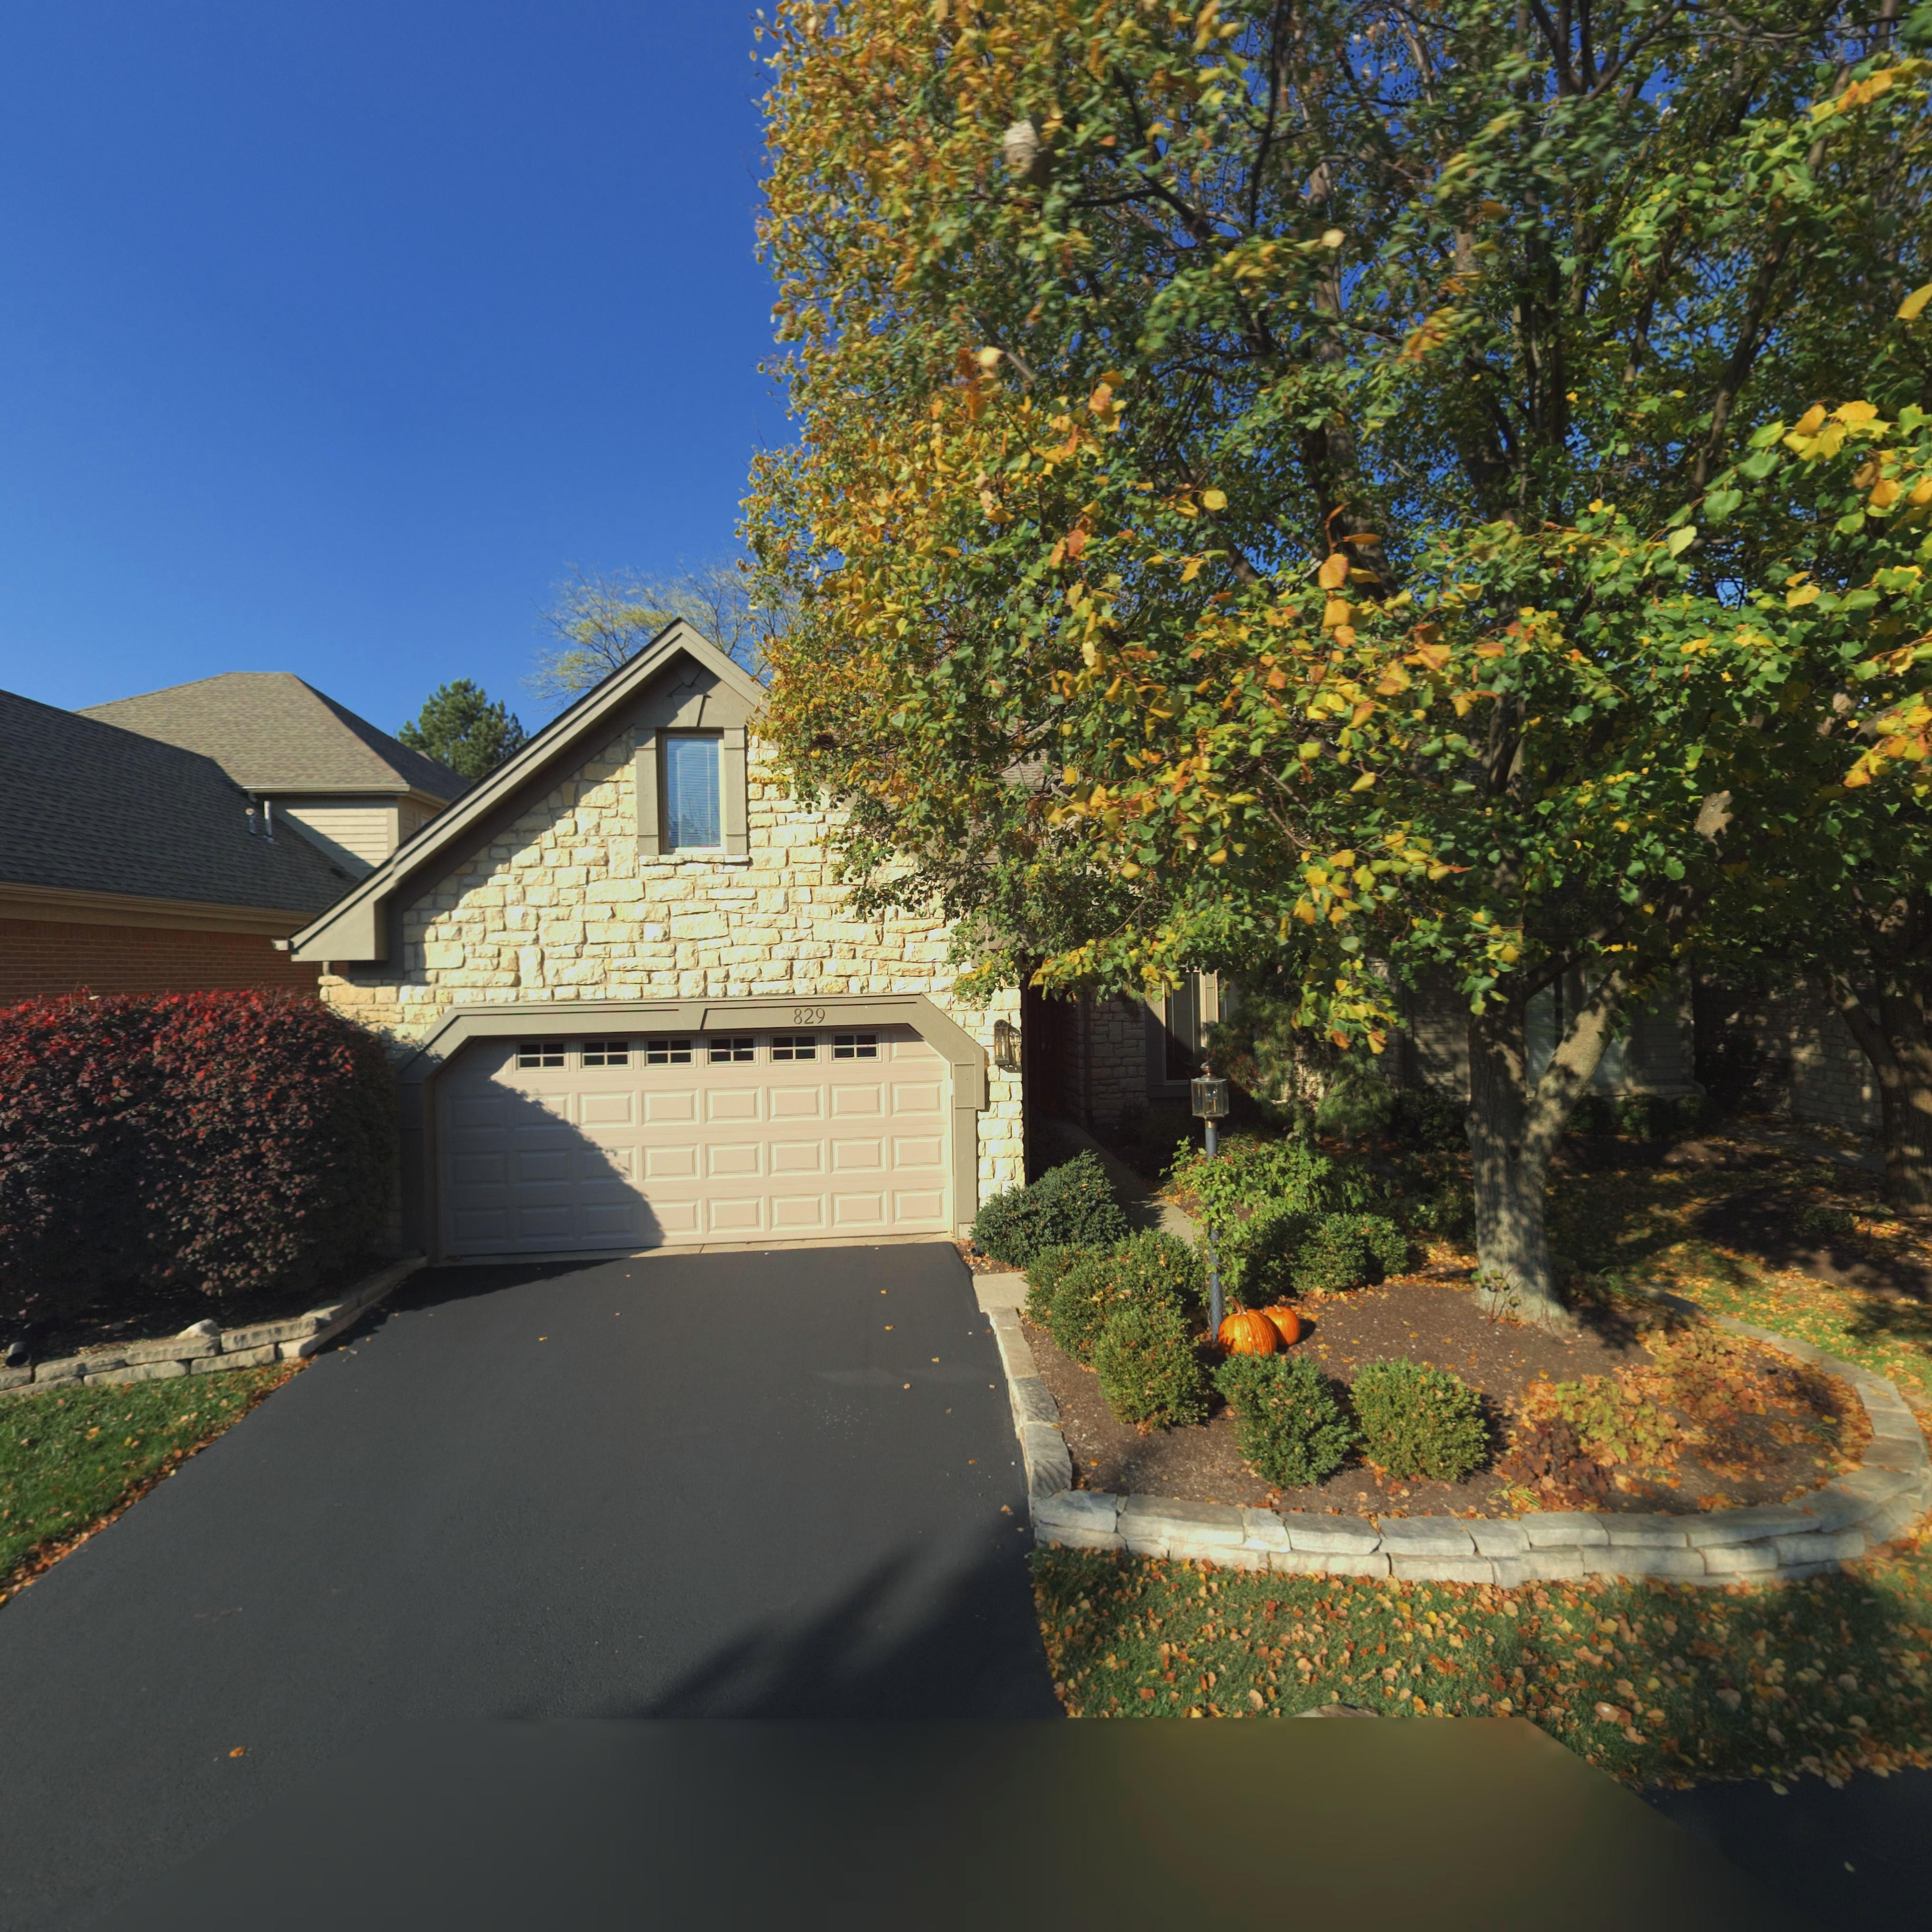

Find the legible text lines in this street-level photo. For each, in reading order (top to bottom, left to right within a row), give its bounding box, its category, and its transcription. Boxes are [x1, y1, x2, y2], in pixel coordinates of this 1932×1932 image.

[792, 1005, 827, 1026] StreetNumber: 829